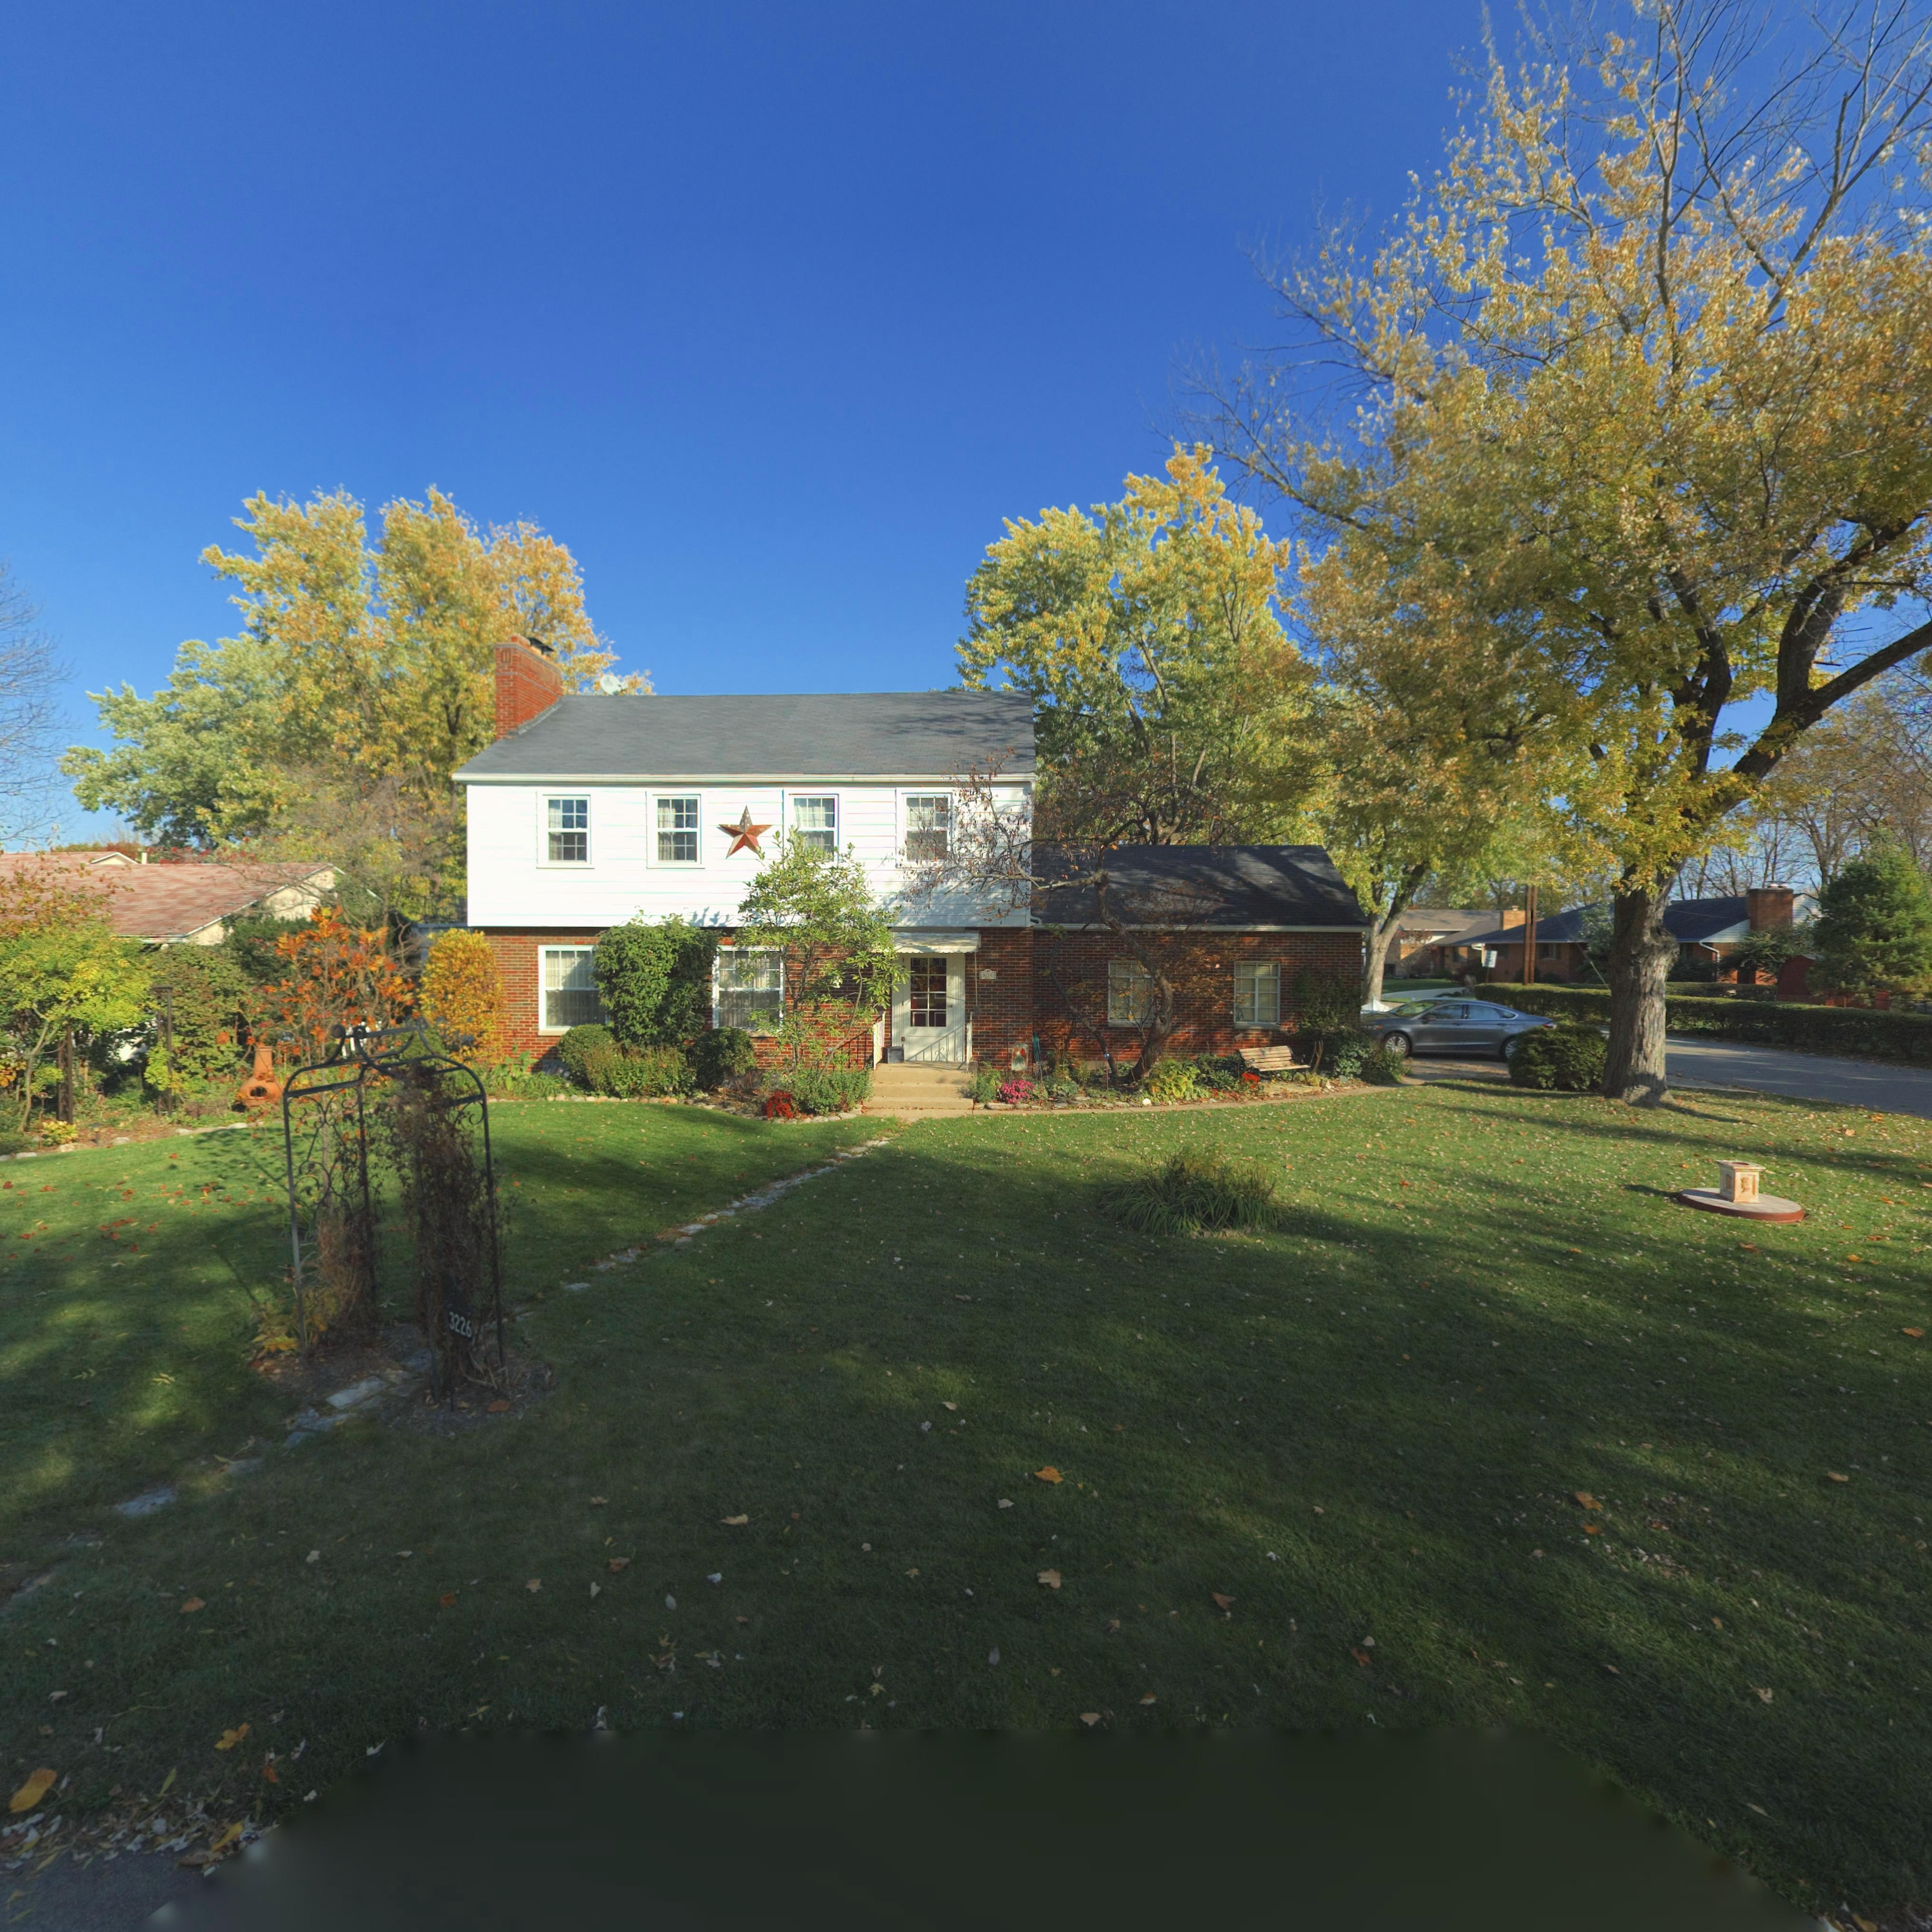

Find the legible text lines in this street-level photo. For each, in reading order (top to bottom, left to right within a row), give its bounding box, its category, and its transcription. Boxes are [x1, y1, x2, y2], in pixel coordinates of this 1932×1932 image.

[983, 973, 993, 977] StreetNumber: *226
[449, 1311, 473, 1340] StreetNumber: 3226